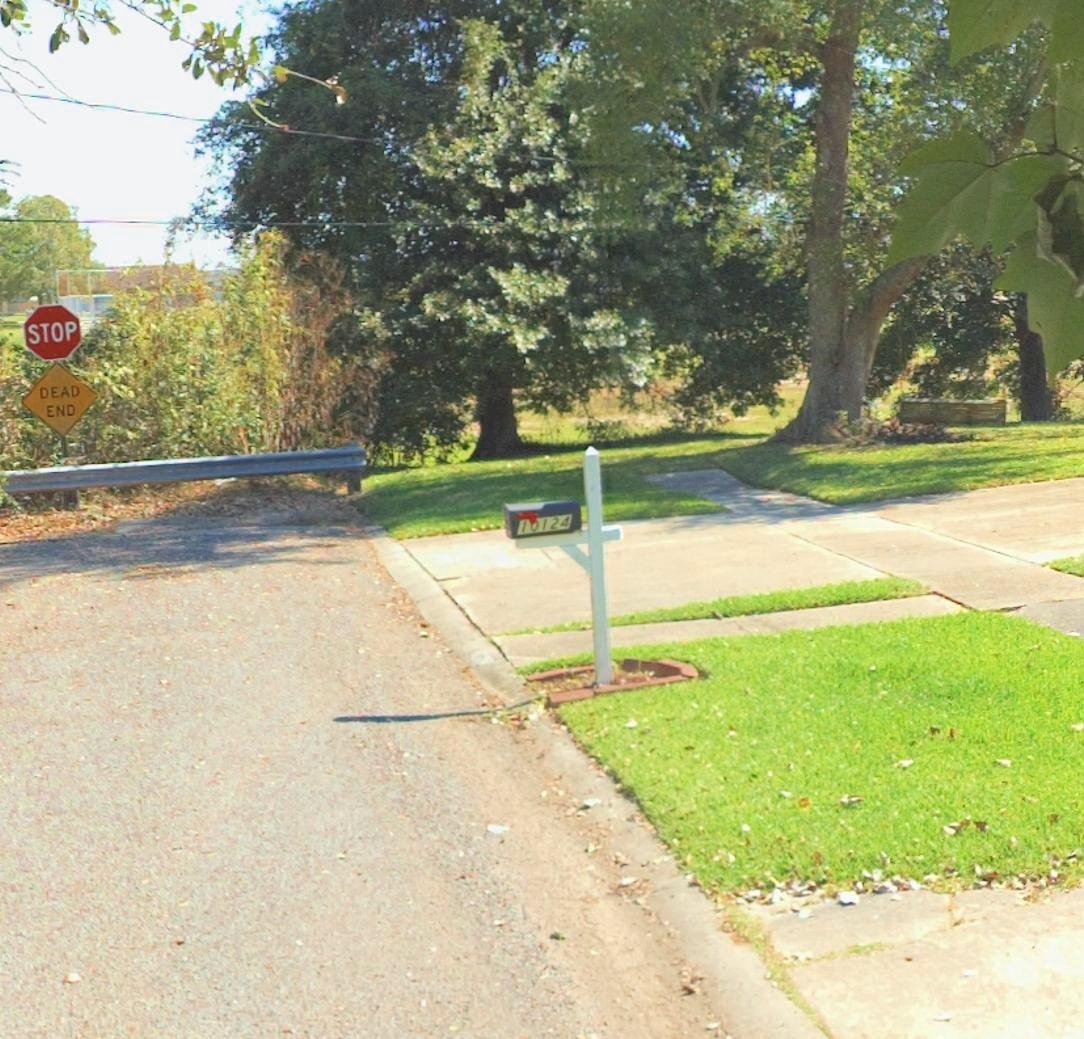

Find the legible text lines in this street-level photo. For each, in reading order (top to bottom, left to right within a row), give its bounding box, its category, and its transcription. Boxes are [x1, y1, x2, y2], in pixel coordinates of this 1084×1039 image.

[27, 319, 79, 346] None: STOP
[39, 385, 82, 400] None: DEAD
[46, 404, 76, 418] None: END
[518, 515, 571, 535] StreetNumber: 10124